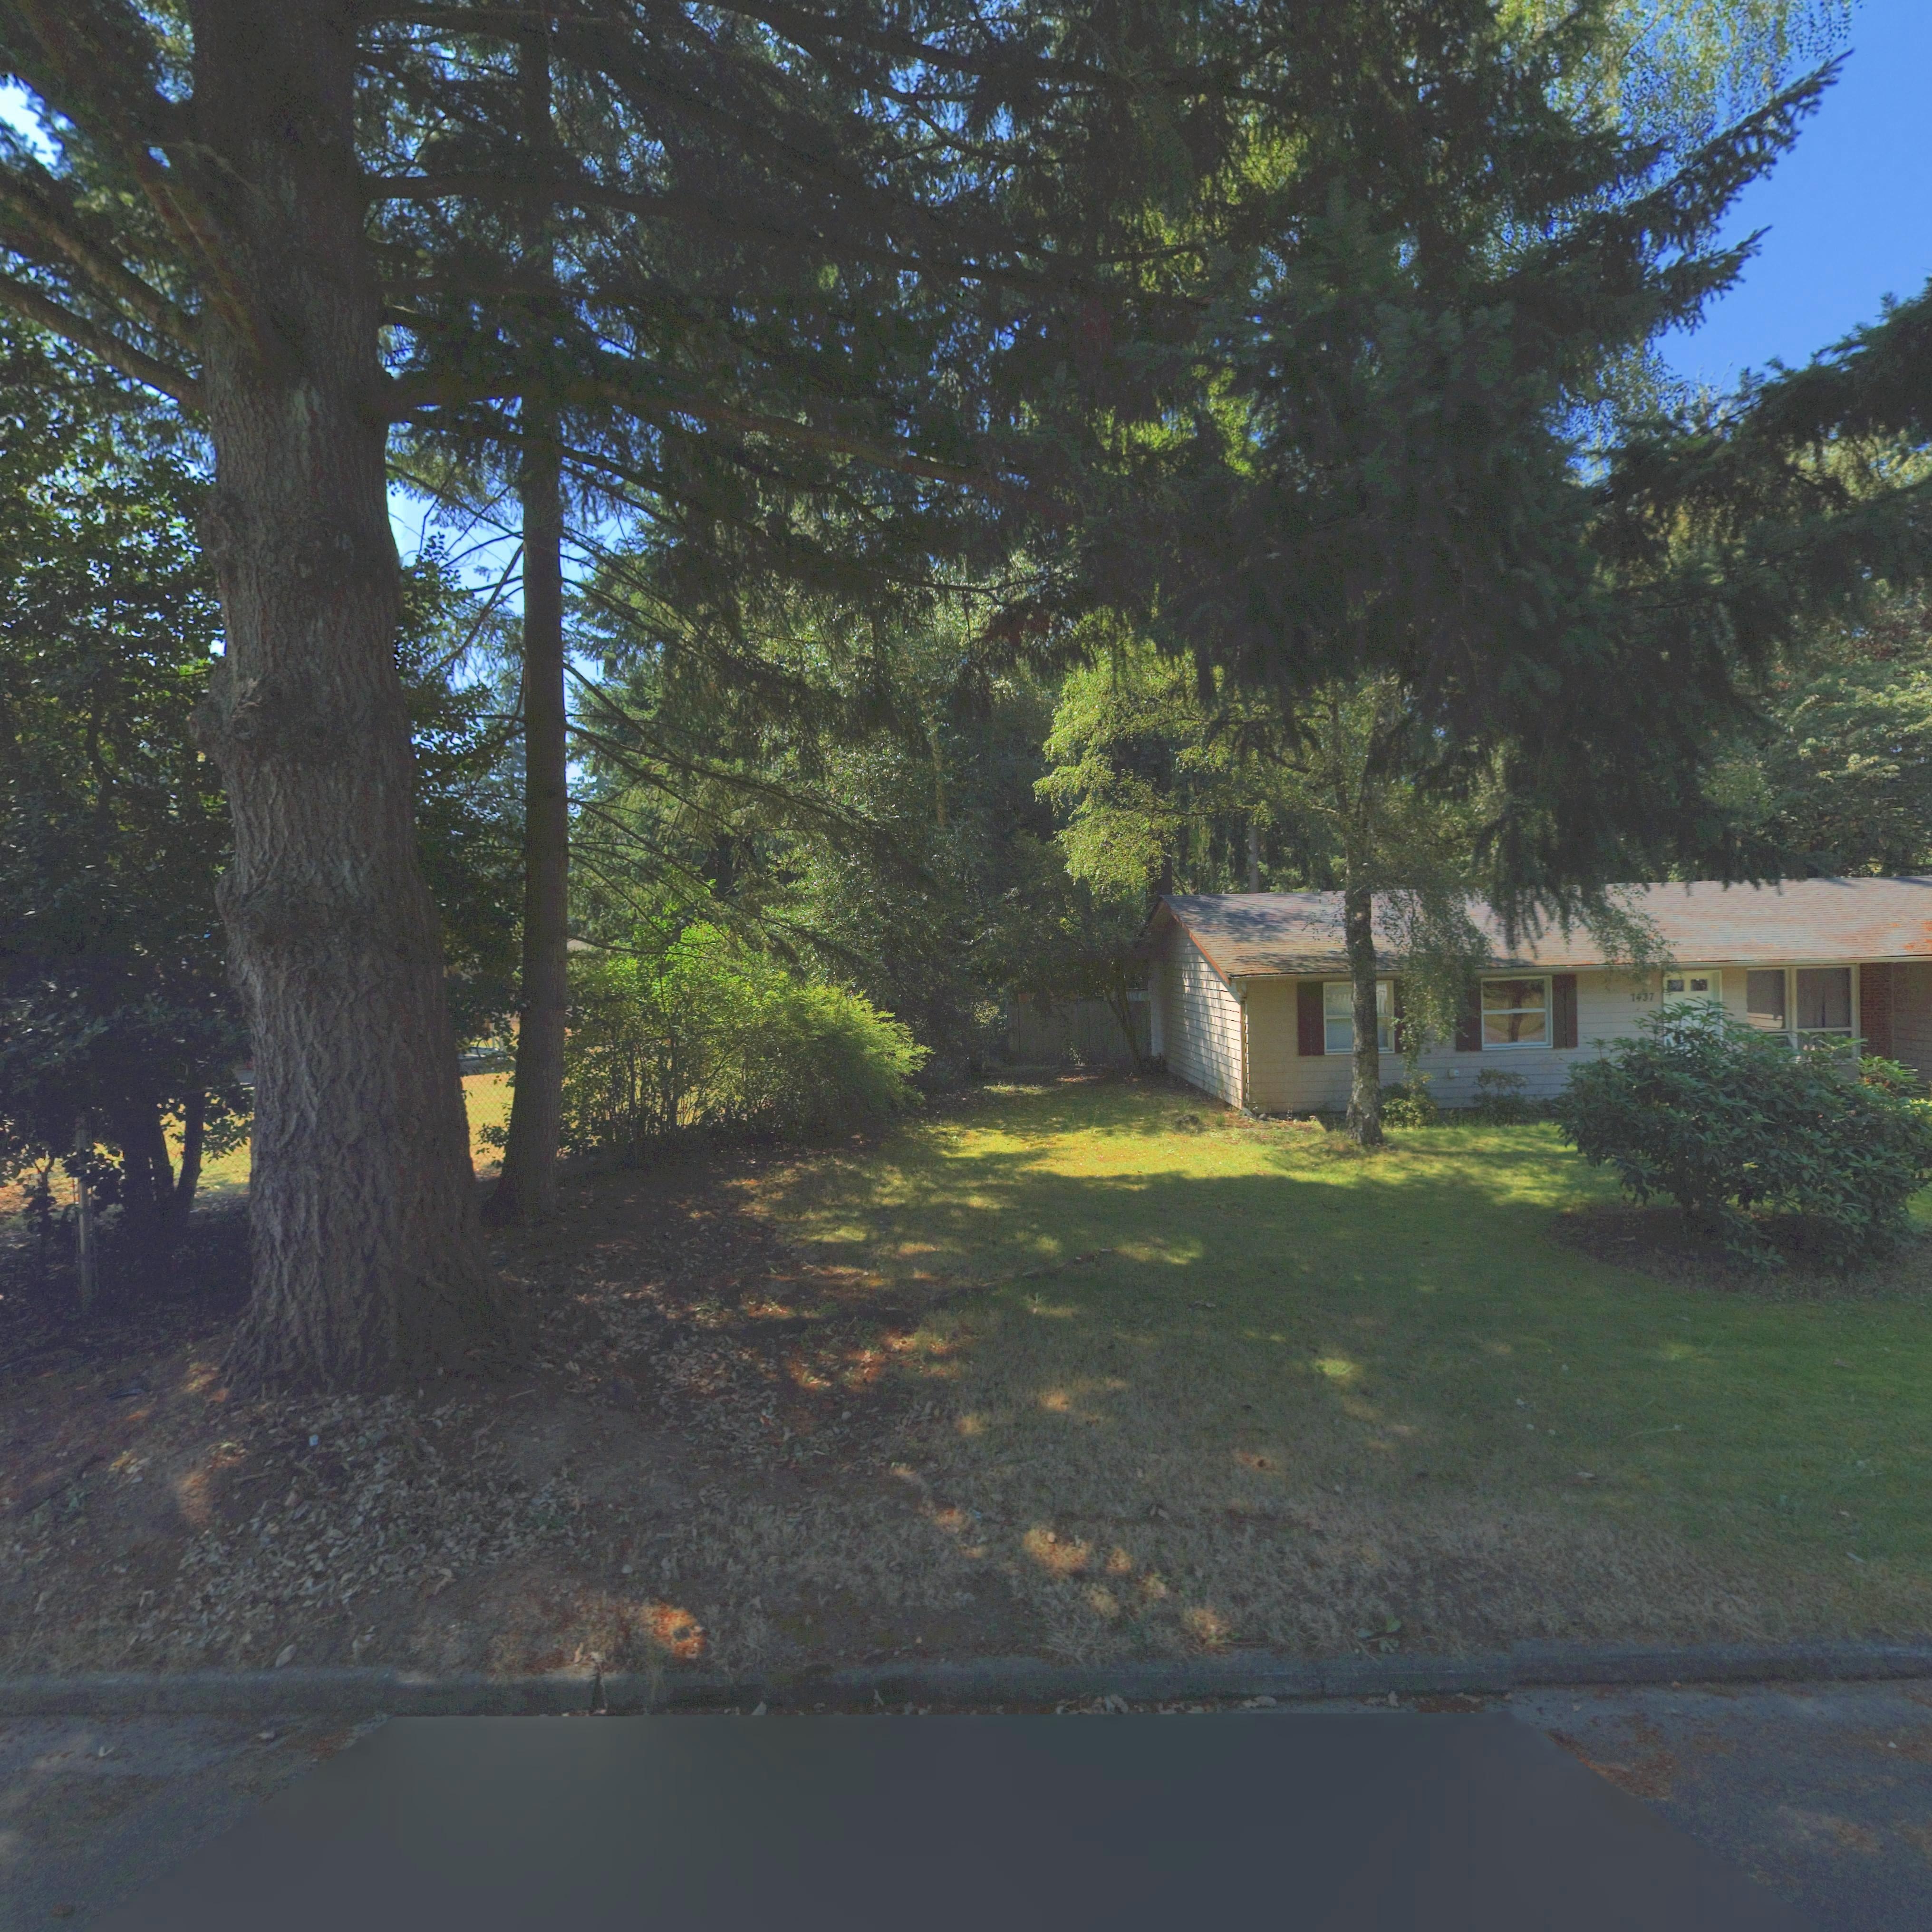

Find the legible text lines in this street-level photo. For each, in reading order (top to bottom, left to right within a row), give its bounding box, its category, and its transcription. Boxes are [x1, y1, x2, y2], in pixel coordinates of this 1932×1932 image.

[1631, 991, 1657, 1002] StreetNumber: 14*7